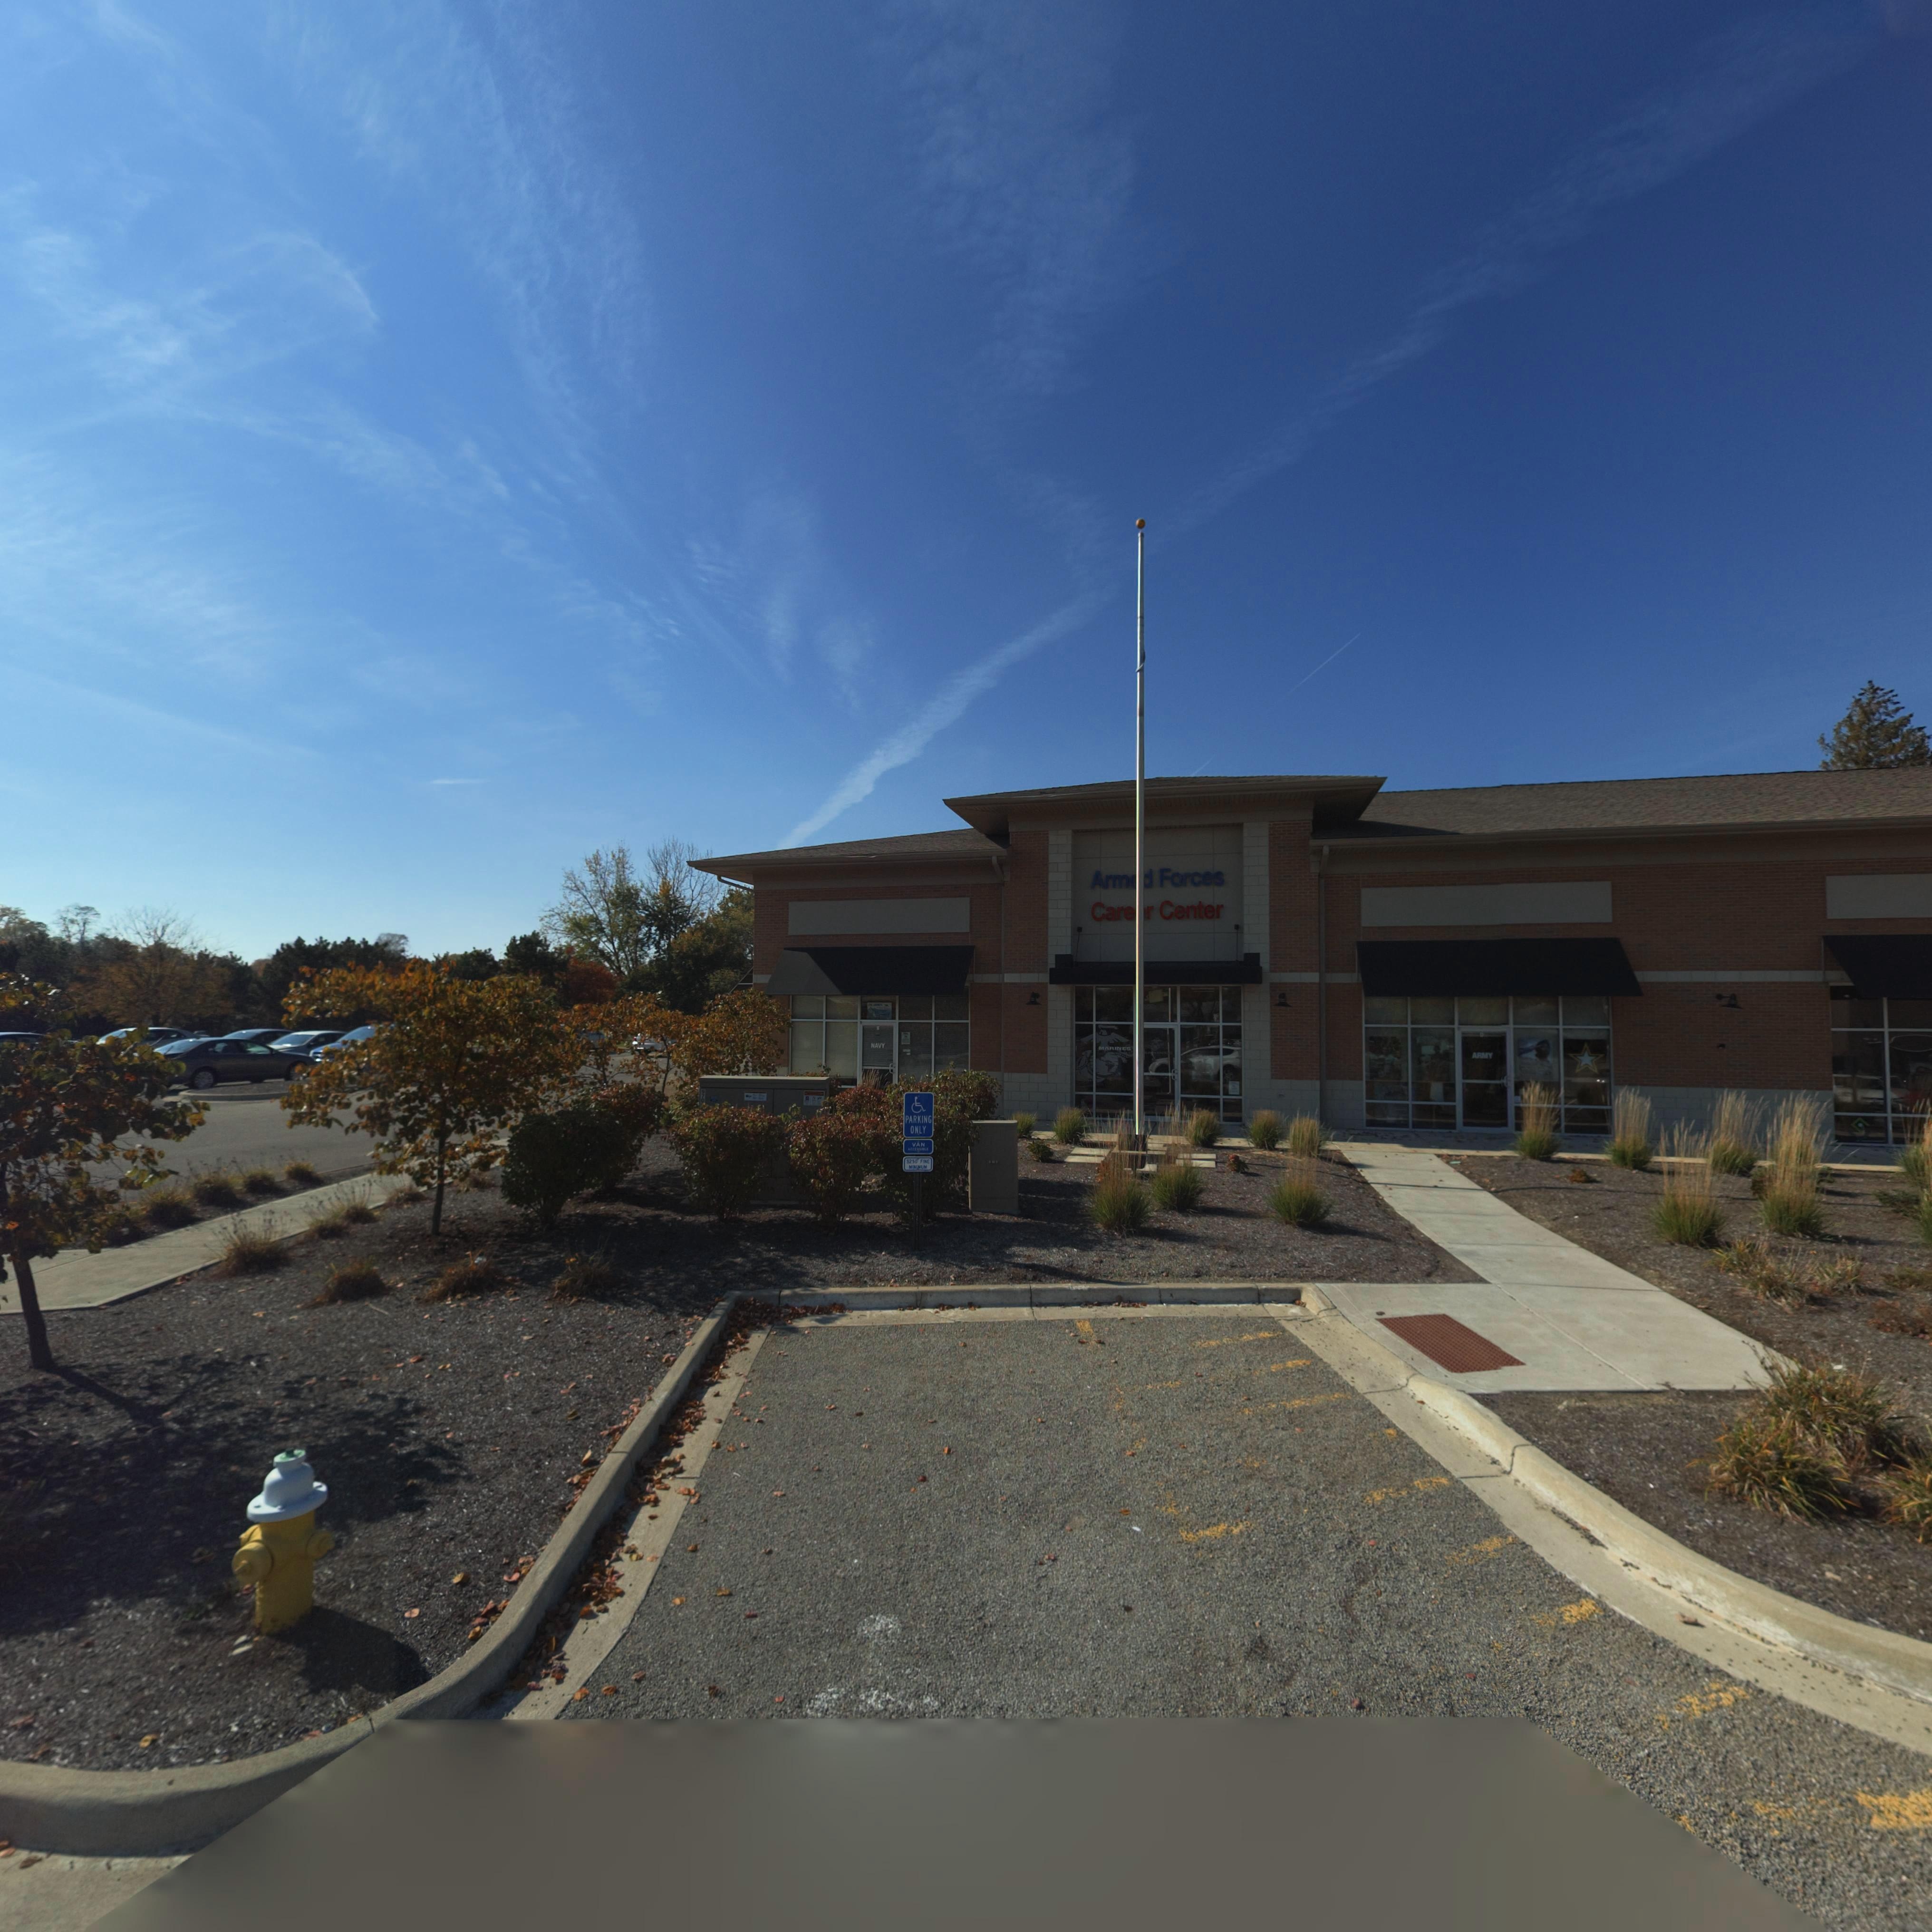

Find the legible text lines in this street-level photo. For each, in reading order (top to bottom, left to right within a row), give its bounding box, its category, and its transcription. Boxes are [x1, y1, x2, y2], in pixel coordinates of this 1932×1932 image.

[1089, 866, 1227, 890] BusinessName: Arm** Forces
[1090, 898, 1225, 923] BusinessName: Care*r Center